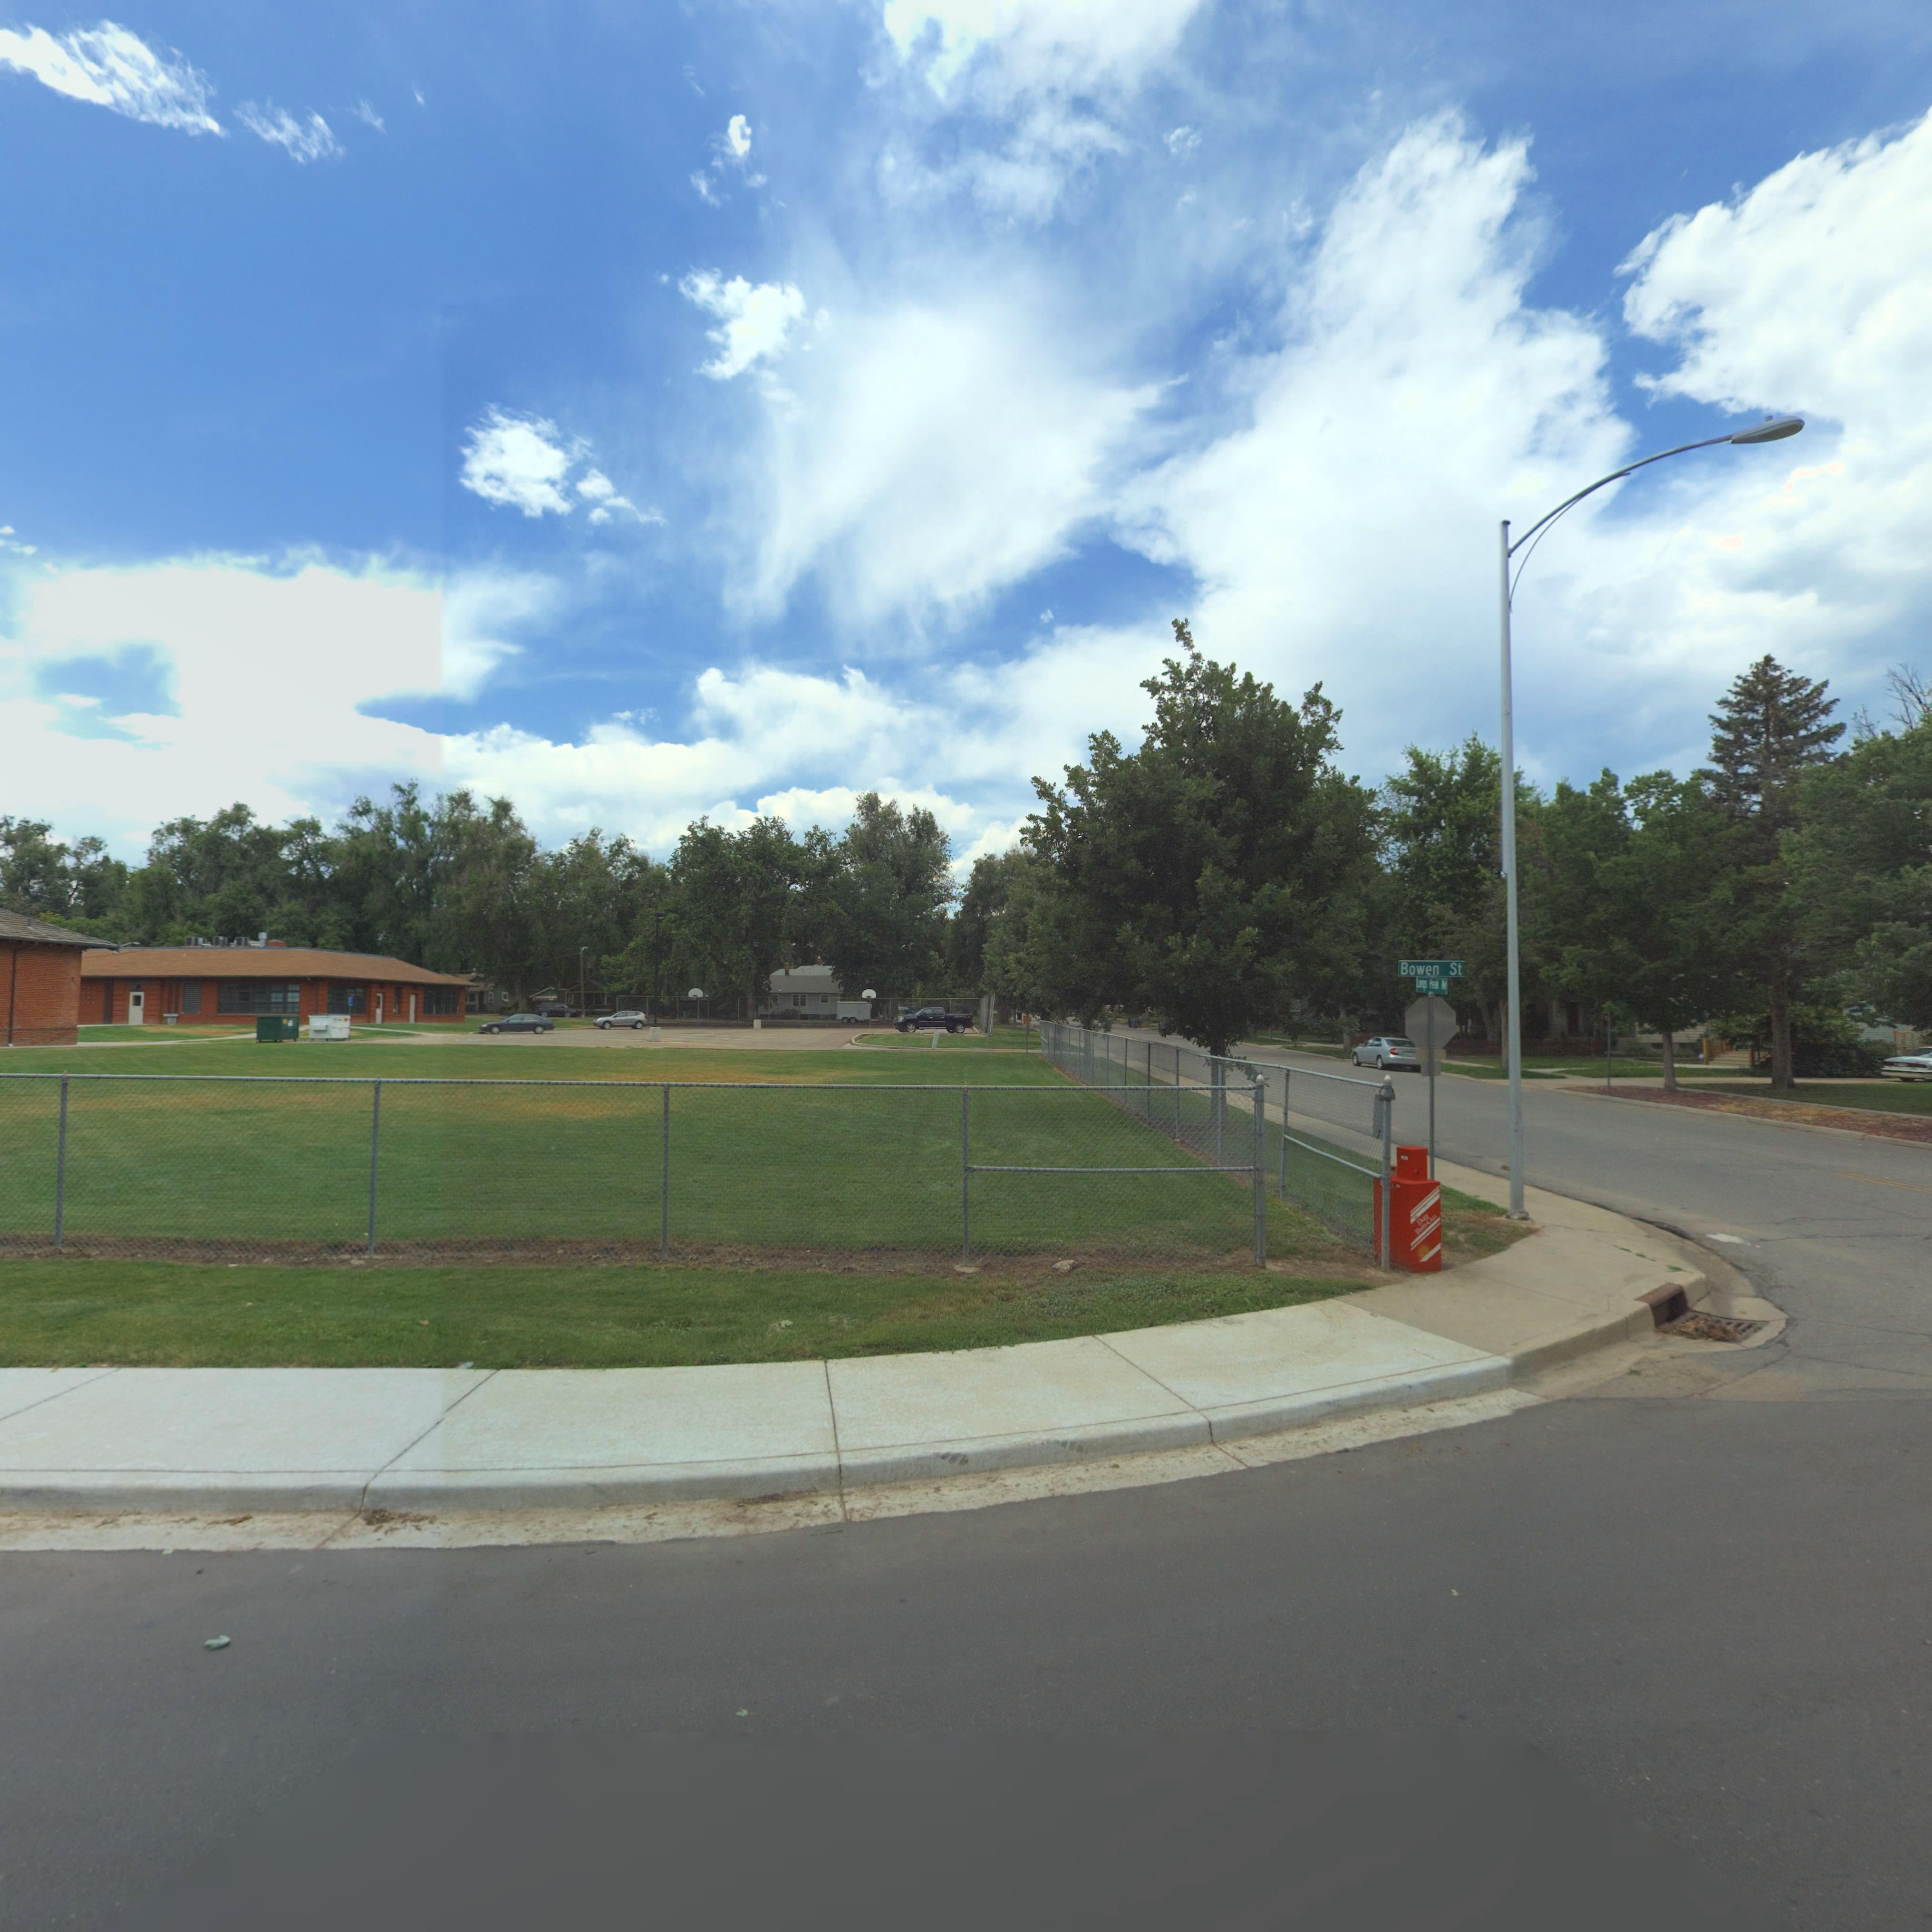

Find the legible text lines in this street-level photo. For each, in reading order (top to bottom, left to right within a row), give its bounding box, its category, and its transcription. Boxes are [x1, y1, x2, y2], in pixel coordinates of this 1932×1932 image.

[1401, 962, 1462, 976] StreetName: Bowen St
[1416, 977, 1447, 992] StreetName: Longs Peak Av